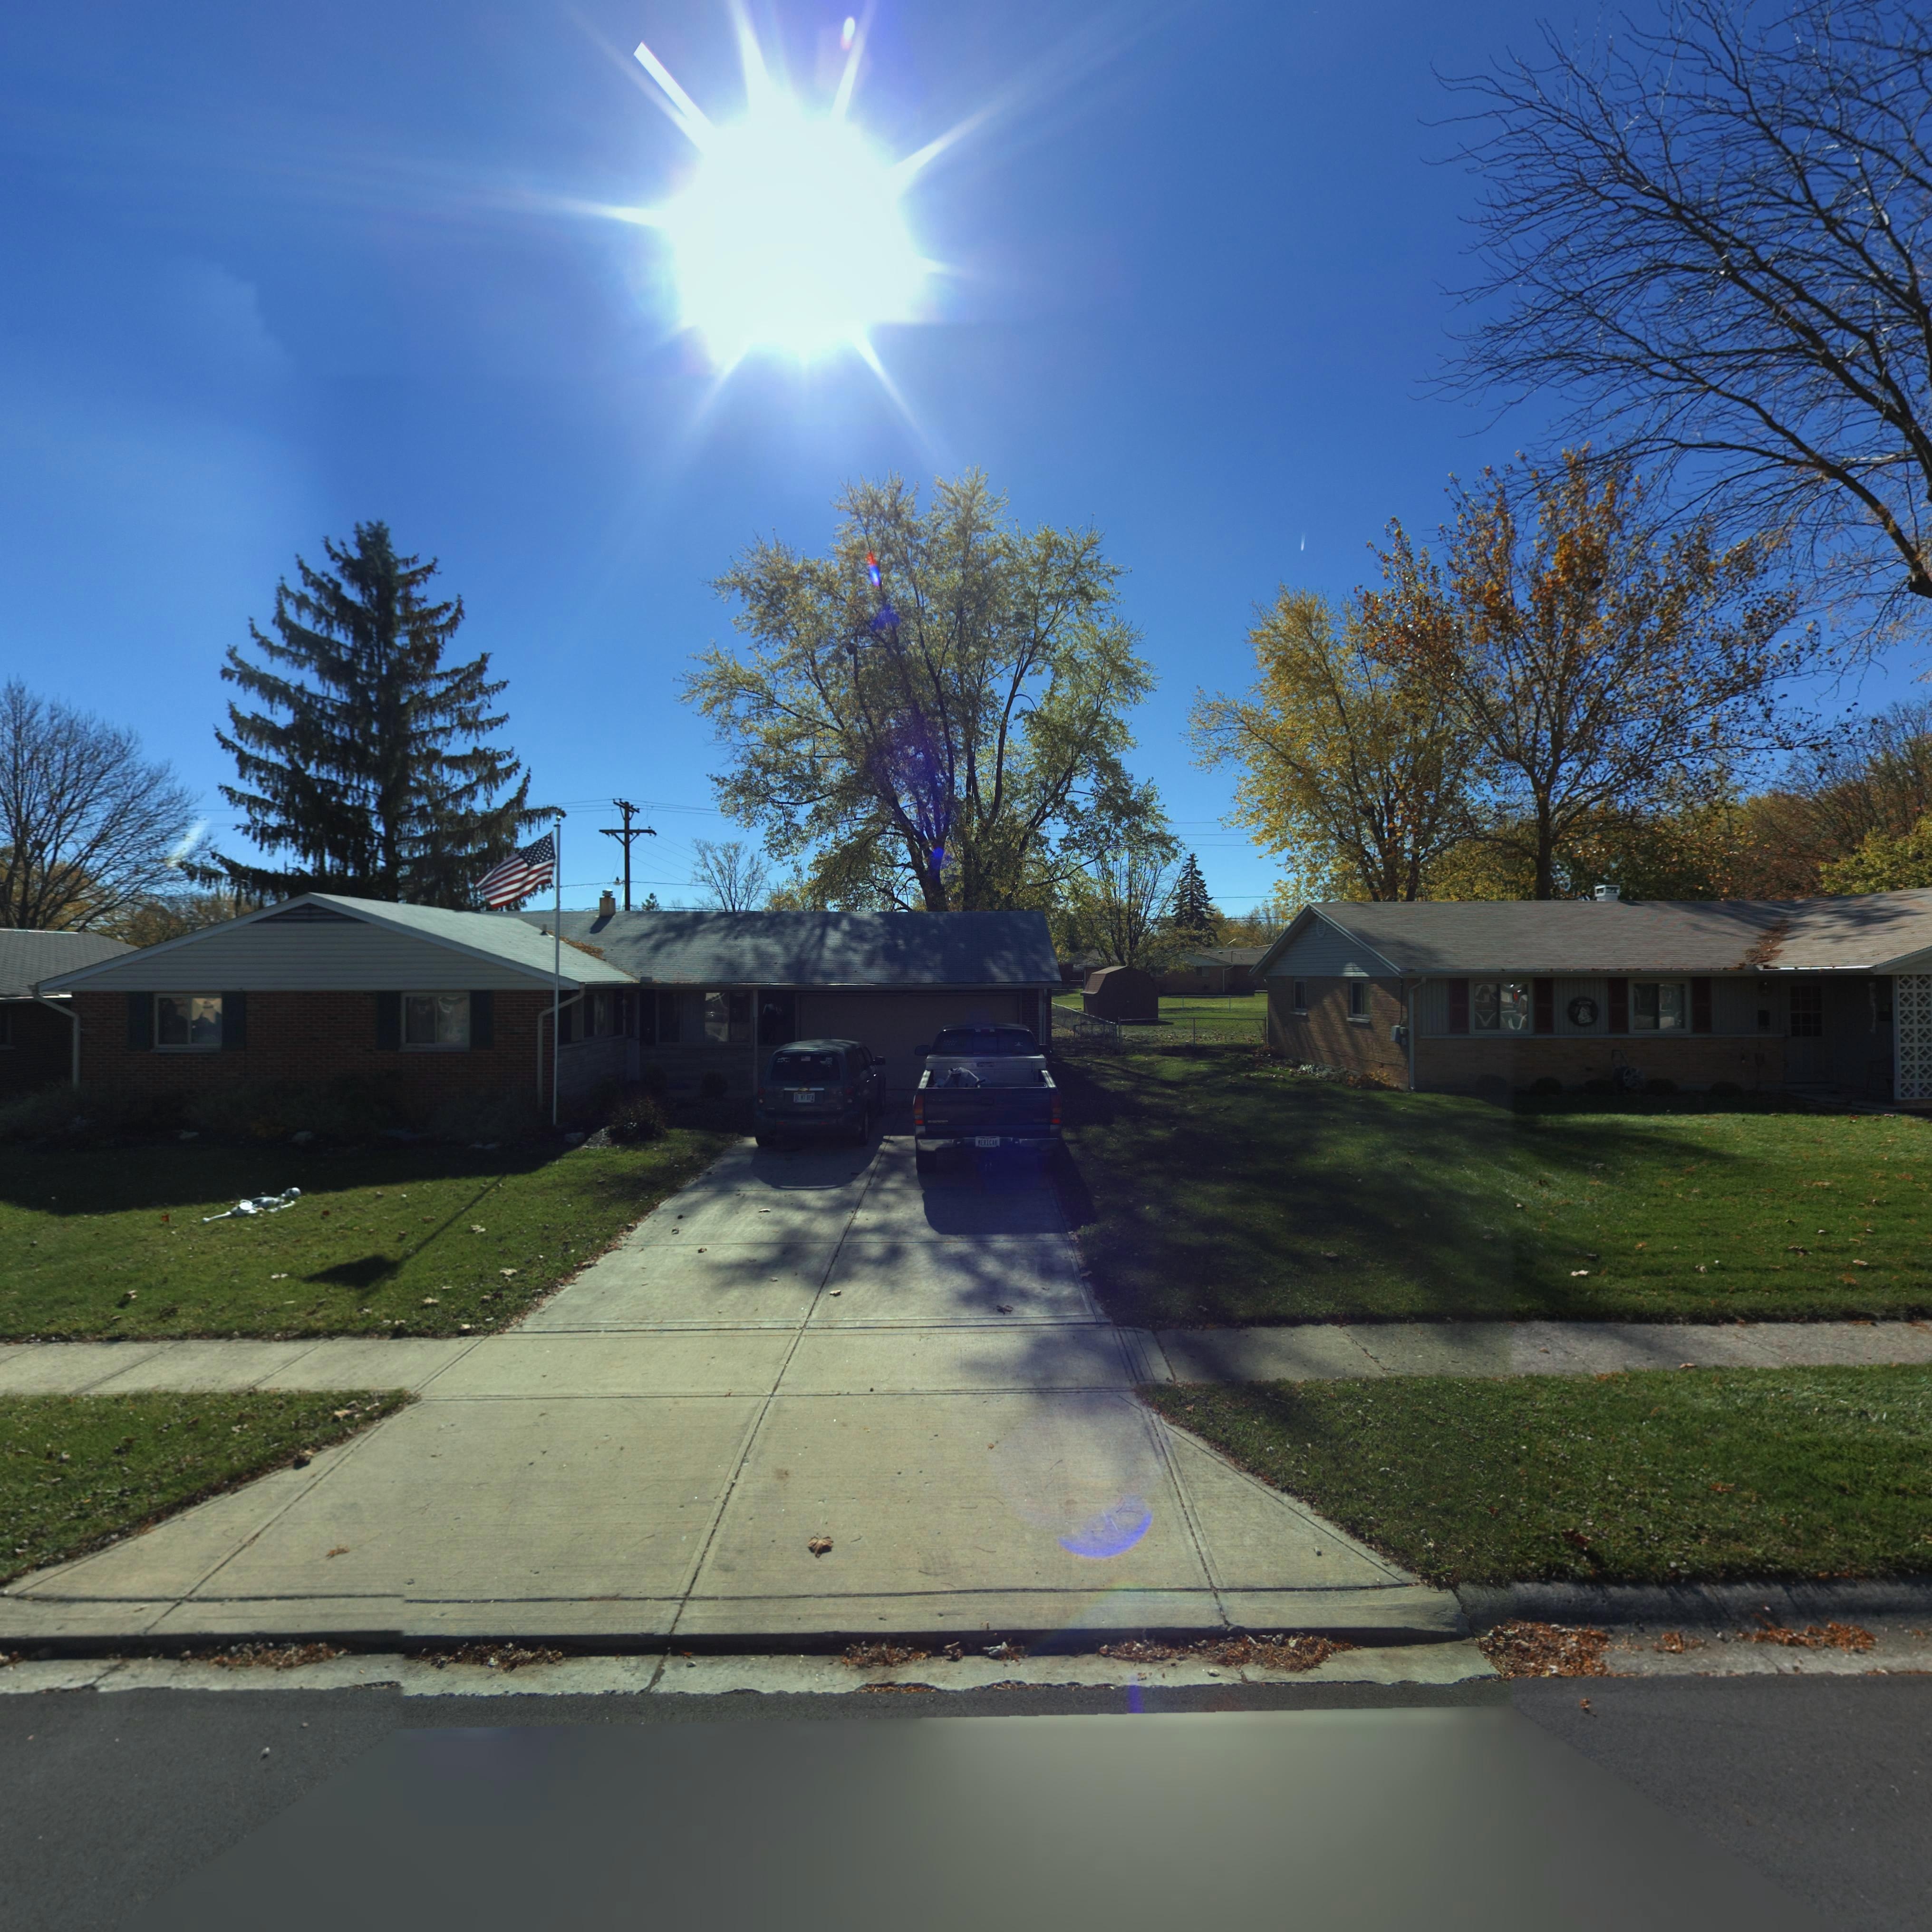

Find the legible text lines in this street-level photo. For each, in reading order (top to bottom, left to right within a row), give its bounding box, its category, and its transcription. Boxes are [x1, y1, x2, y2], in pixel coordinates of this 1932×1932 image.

[775, 1005, 782, 1013] StreetNumber: 14